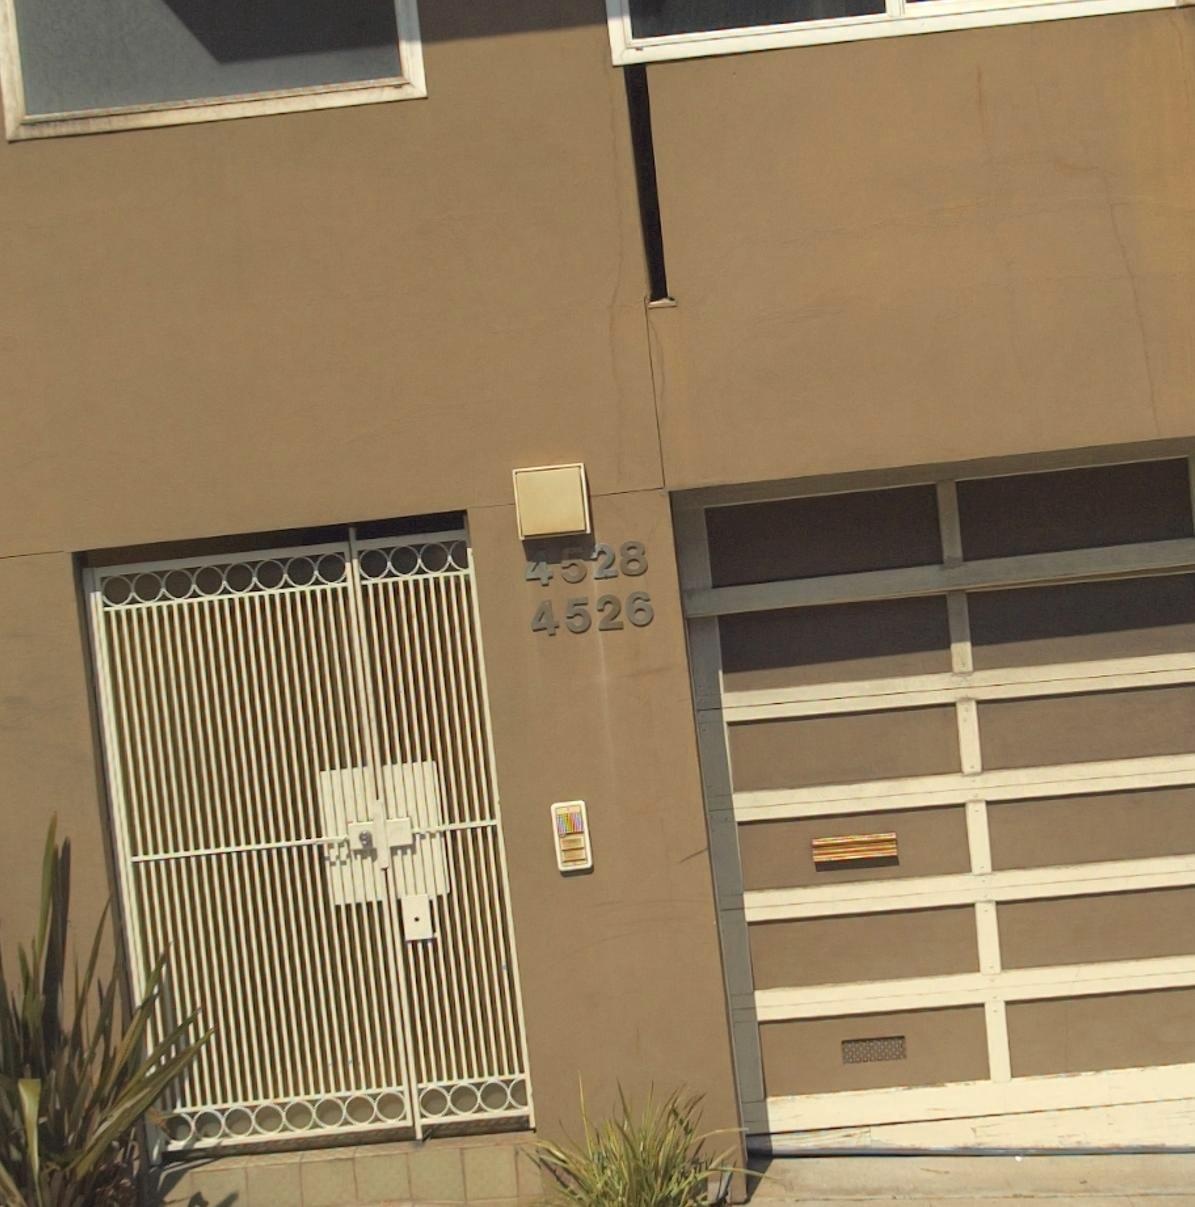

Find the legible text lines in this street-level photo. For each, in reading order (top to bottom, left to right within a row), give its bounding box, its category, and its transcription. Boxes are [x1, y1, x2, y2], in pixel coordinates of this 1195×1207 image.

[523, 534, 651, 589] StreetNumber: 4528
[527, 588, 657, 640] StreetNumber: 4526